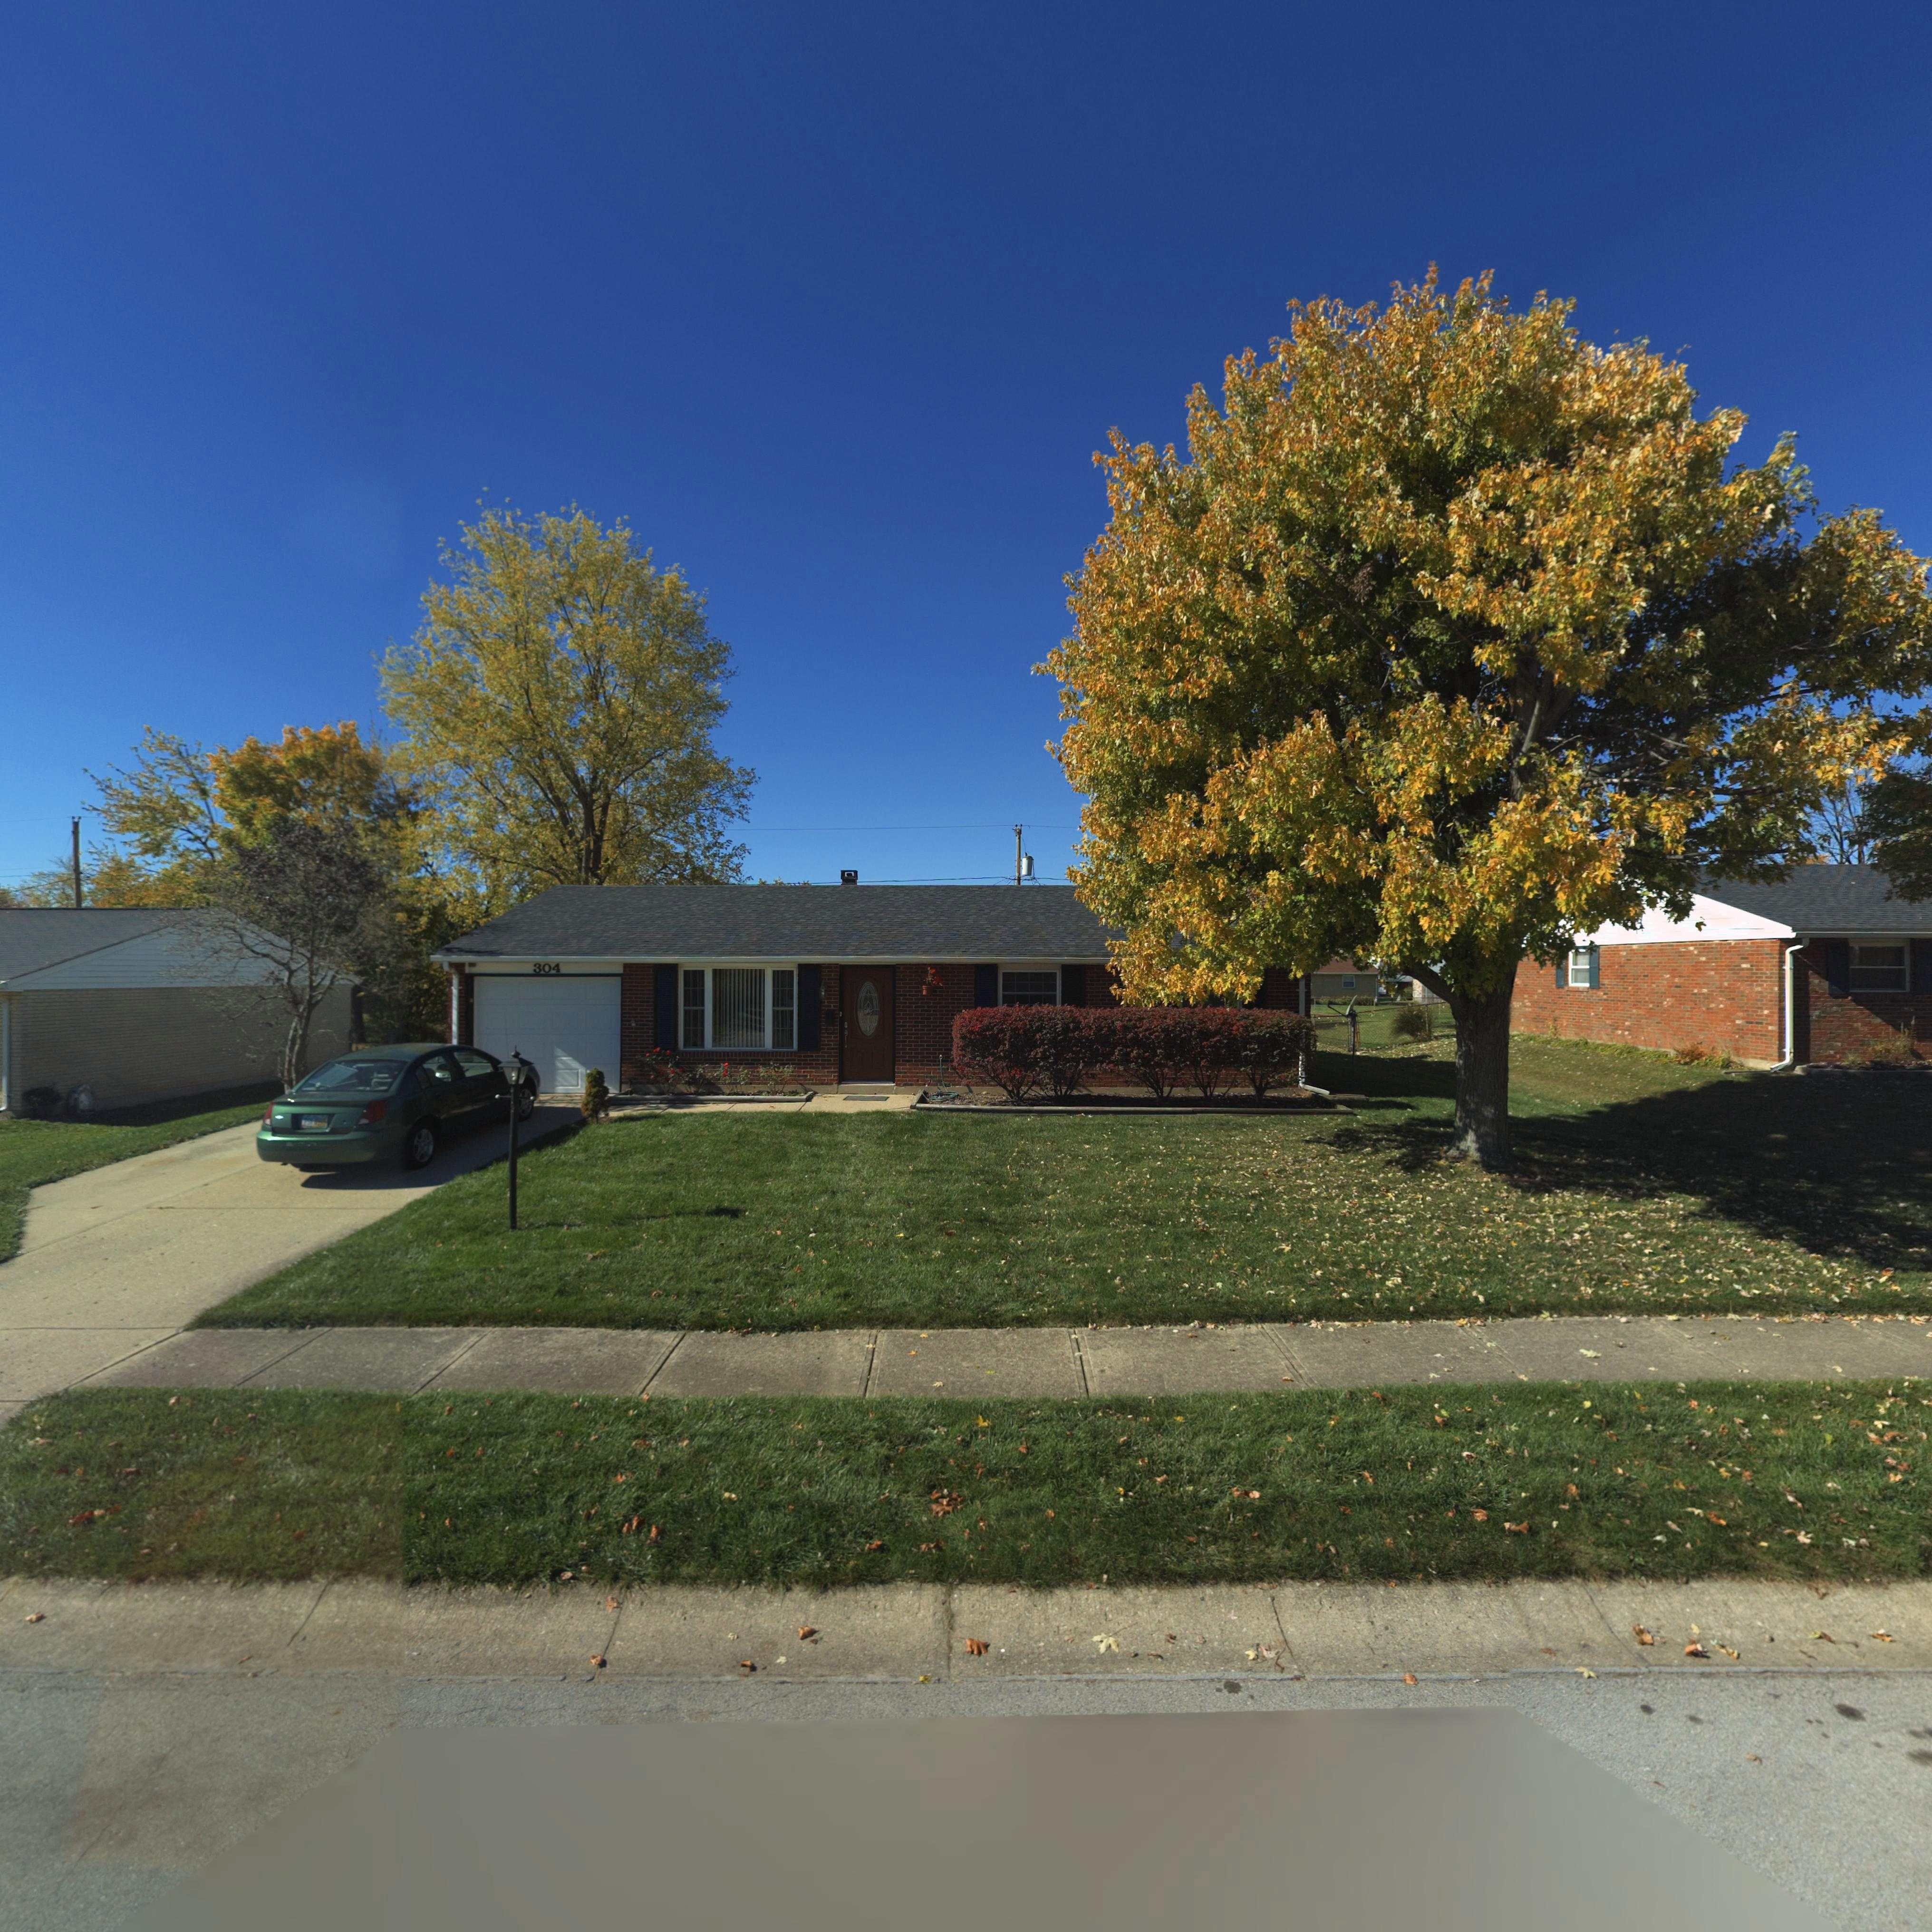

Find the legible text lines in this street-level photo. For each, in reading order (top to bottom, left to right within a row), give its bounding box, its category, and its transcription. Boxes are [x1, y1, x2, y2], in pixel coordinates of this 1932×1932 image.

[532, 962, 560, 973] StreetNumber: 304